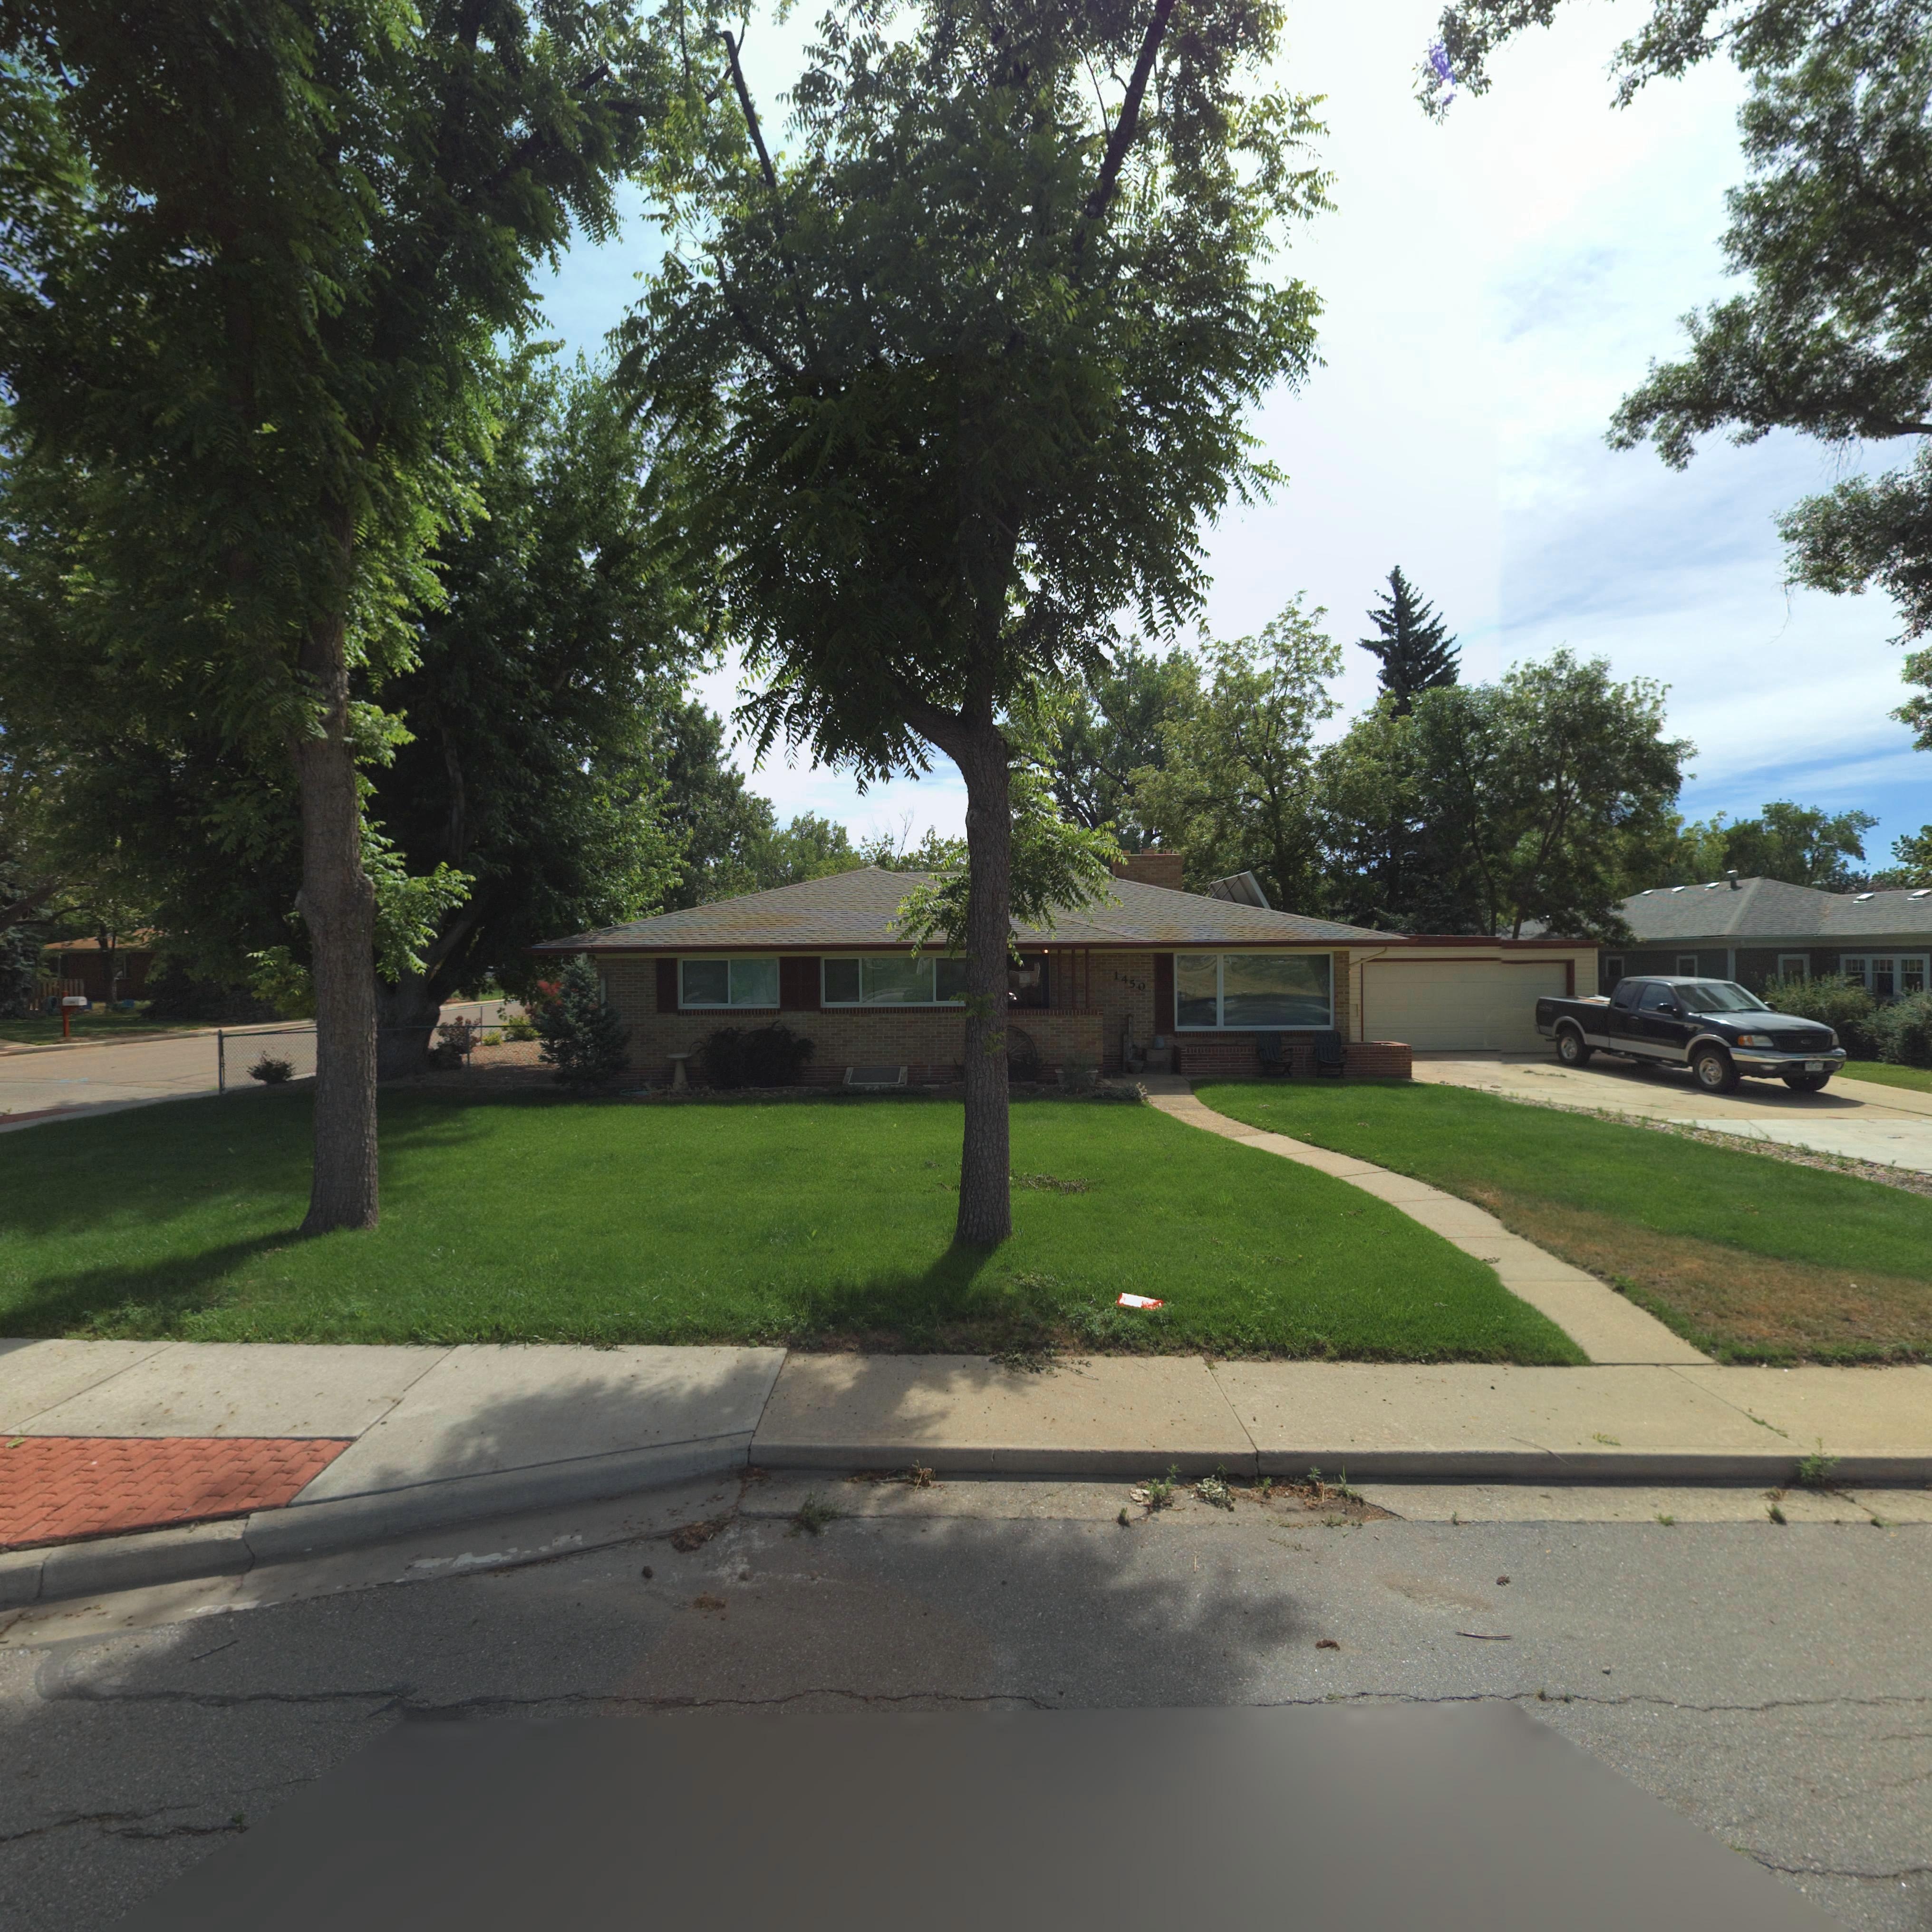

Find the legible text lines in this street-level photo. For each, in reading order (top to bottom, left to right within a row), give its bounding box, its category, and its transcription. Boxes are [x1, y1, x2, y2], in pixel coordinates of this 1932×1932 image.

[1113, 970, 1146, 992] StreetNumber: 1450